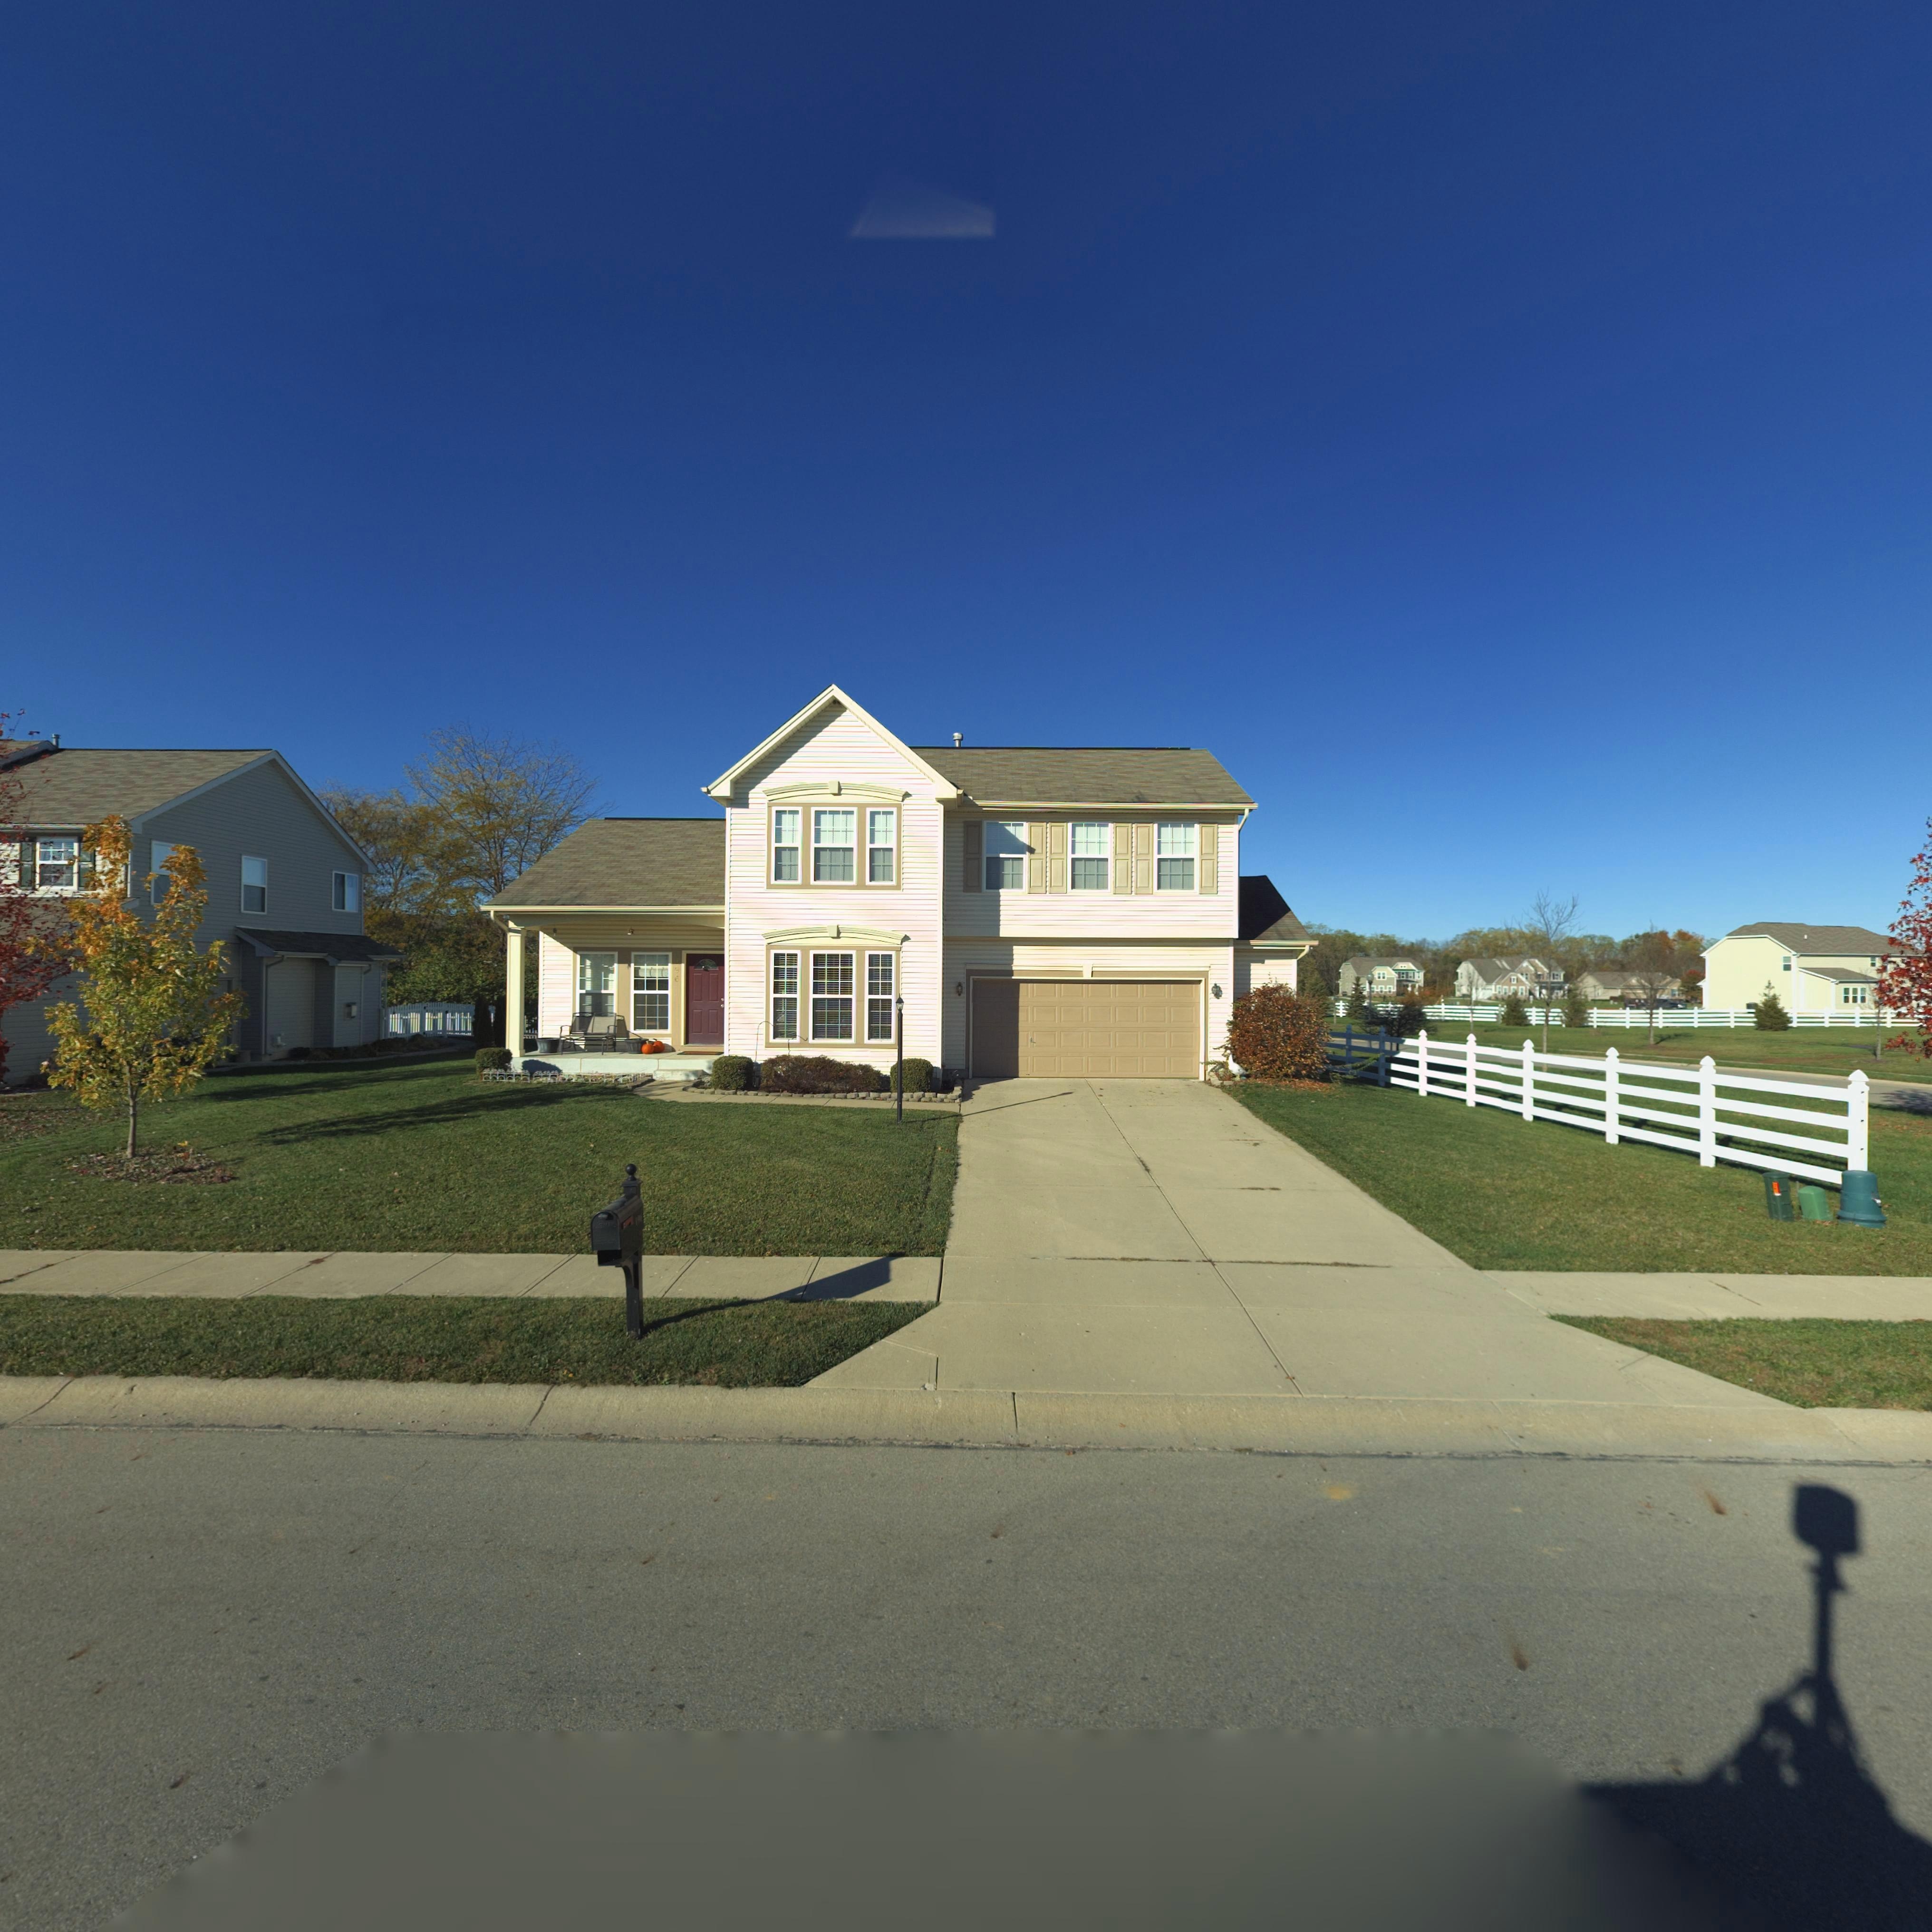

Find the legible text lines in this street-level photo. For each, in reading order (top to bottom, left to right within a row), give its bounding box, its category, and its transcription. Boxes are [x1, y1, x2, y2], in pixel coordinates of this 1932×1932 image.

[674, 955, 680, 983] StreetNumber: **6